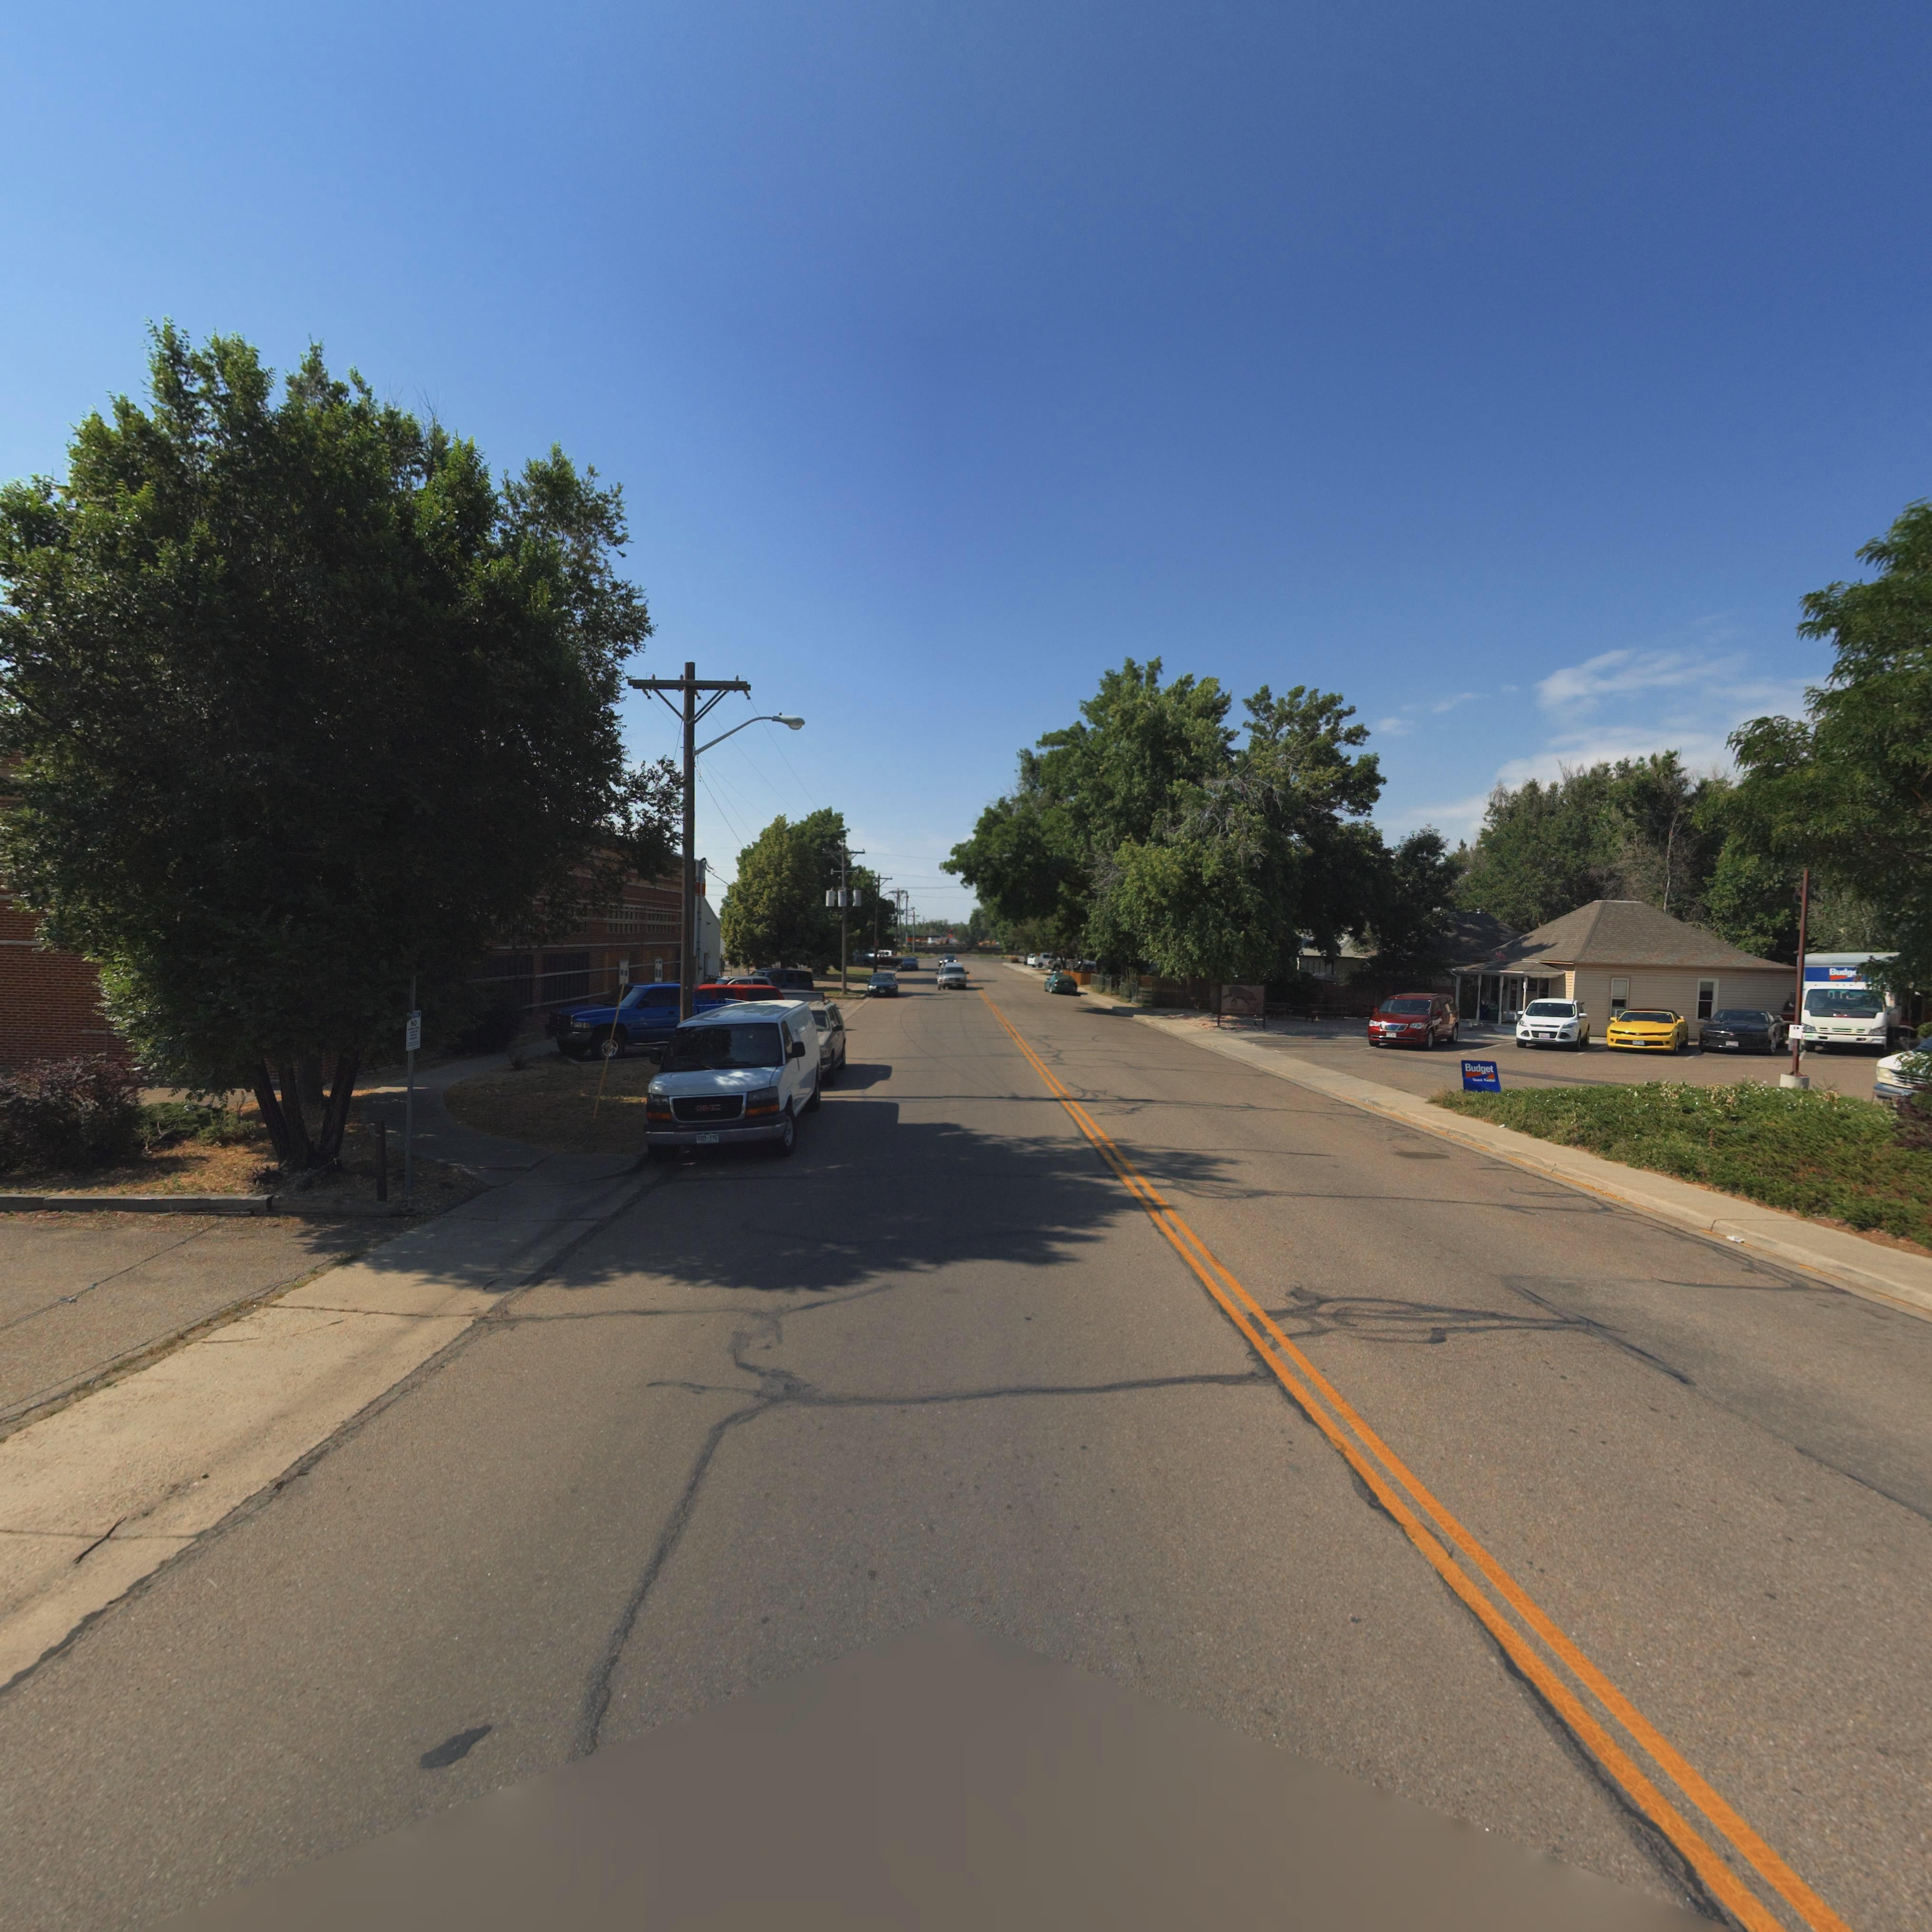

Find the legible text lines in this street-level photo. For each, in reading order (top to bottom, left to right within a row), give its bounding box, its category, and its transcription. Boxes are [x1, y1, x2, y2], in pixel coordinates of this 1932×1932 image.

[1464, 1063, 1494, 1074] BusinessName: Budget